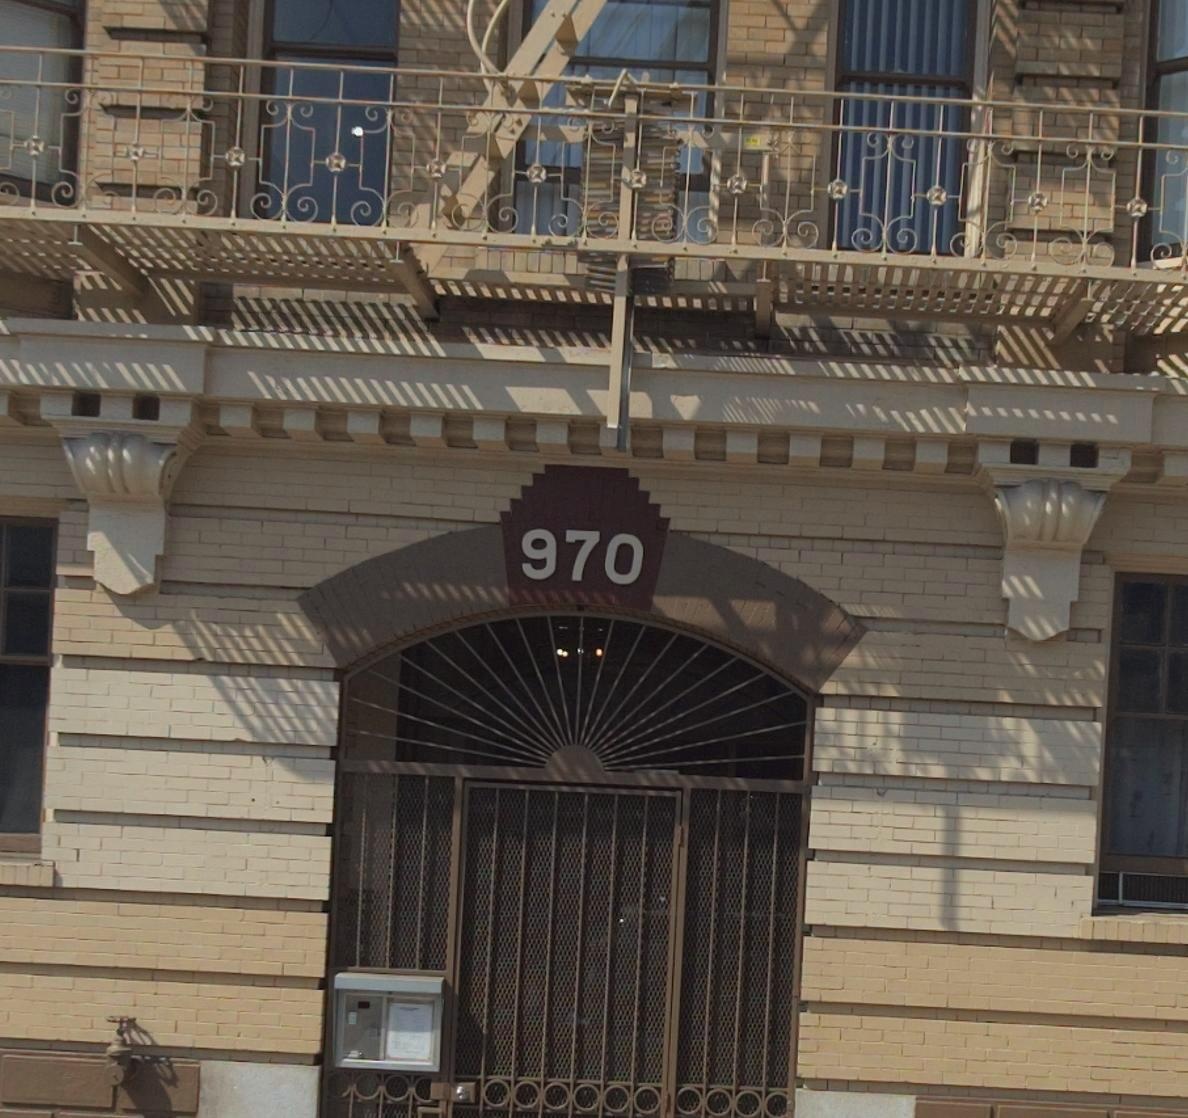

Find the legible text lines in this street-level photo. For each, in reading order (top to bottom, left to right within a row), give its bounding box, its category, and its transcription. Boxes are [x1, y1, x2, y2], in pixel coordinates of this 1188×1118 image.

[516, 523, 652, 587] StreetNumber: 970